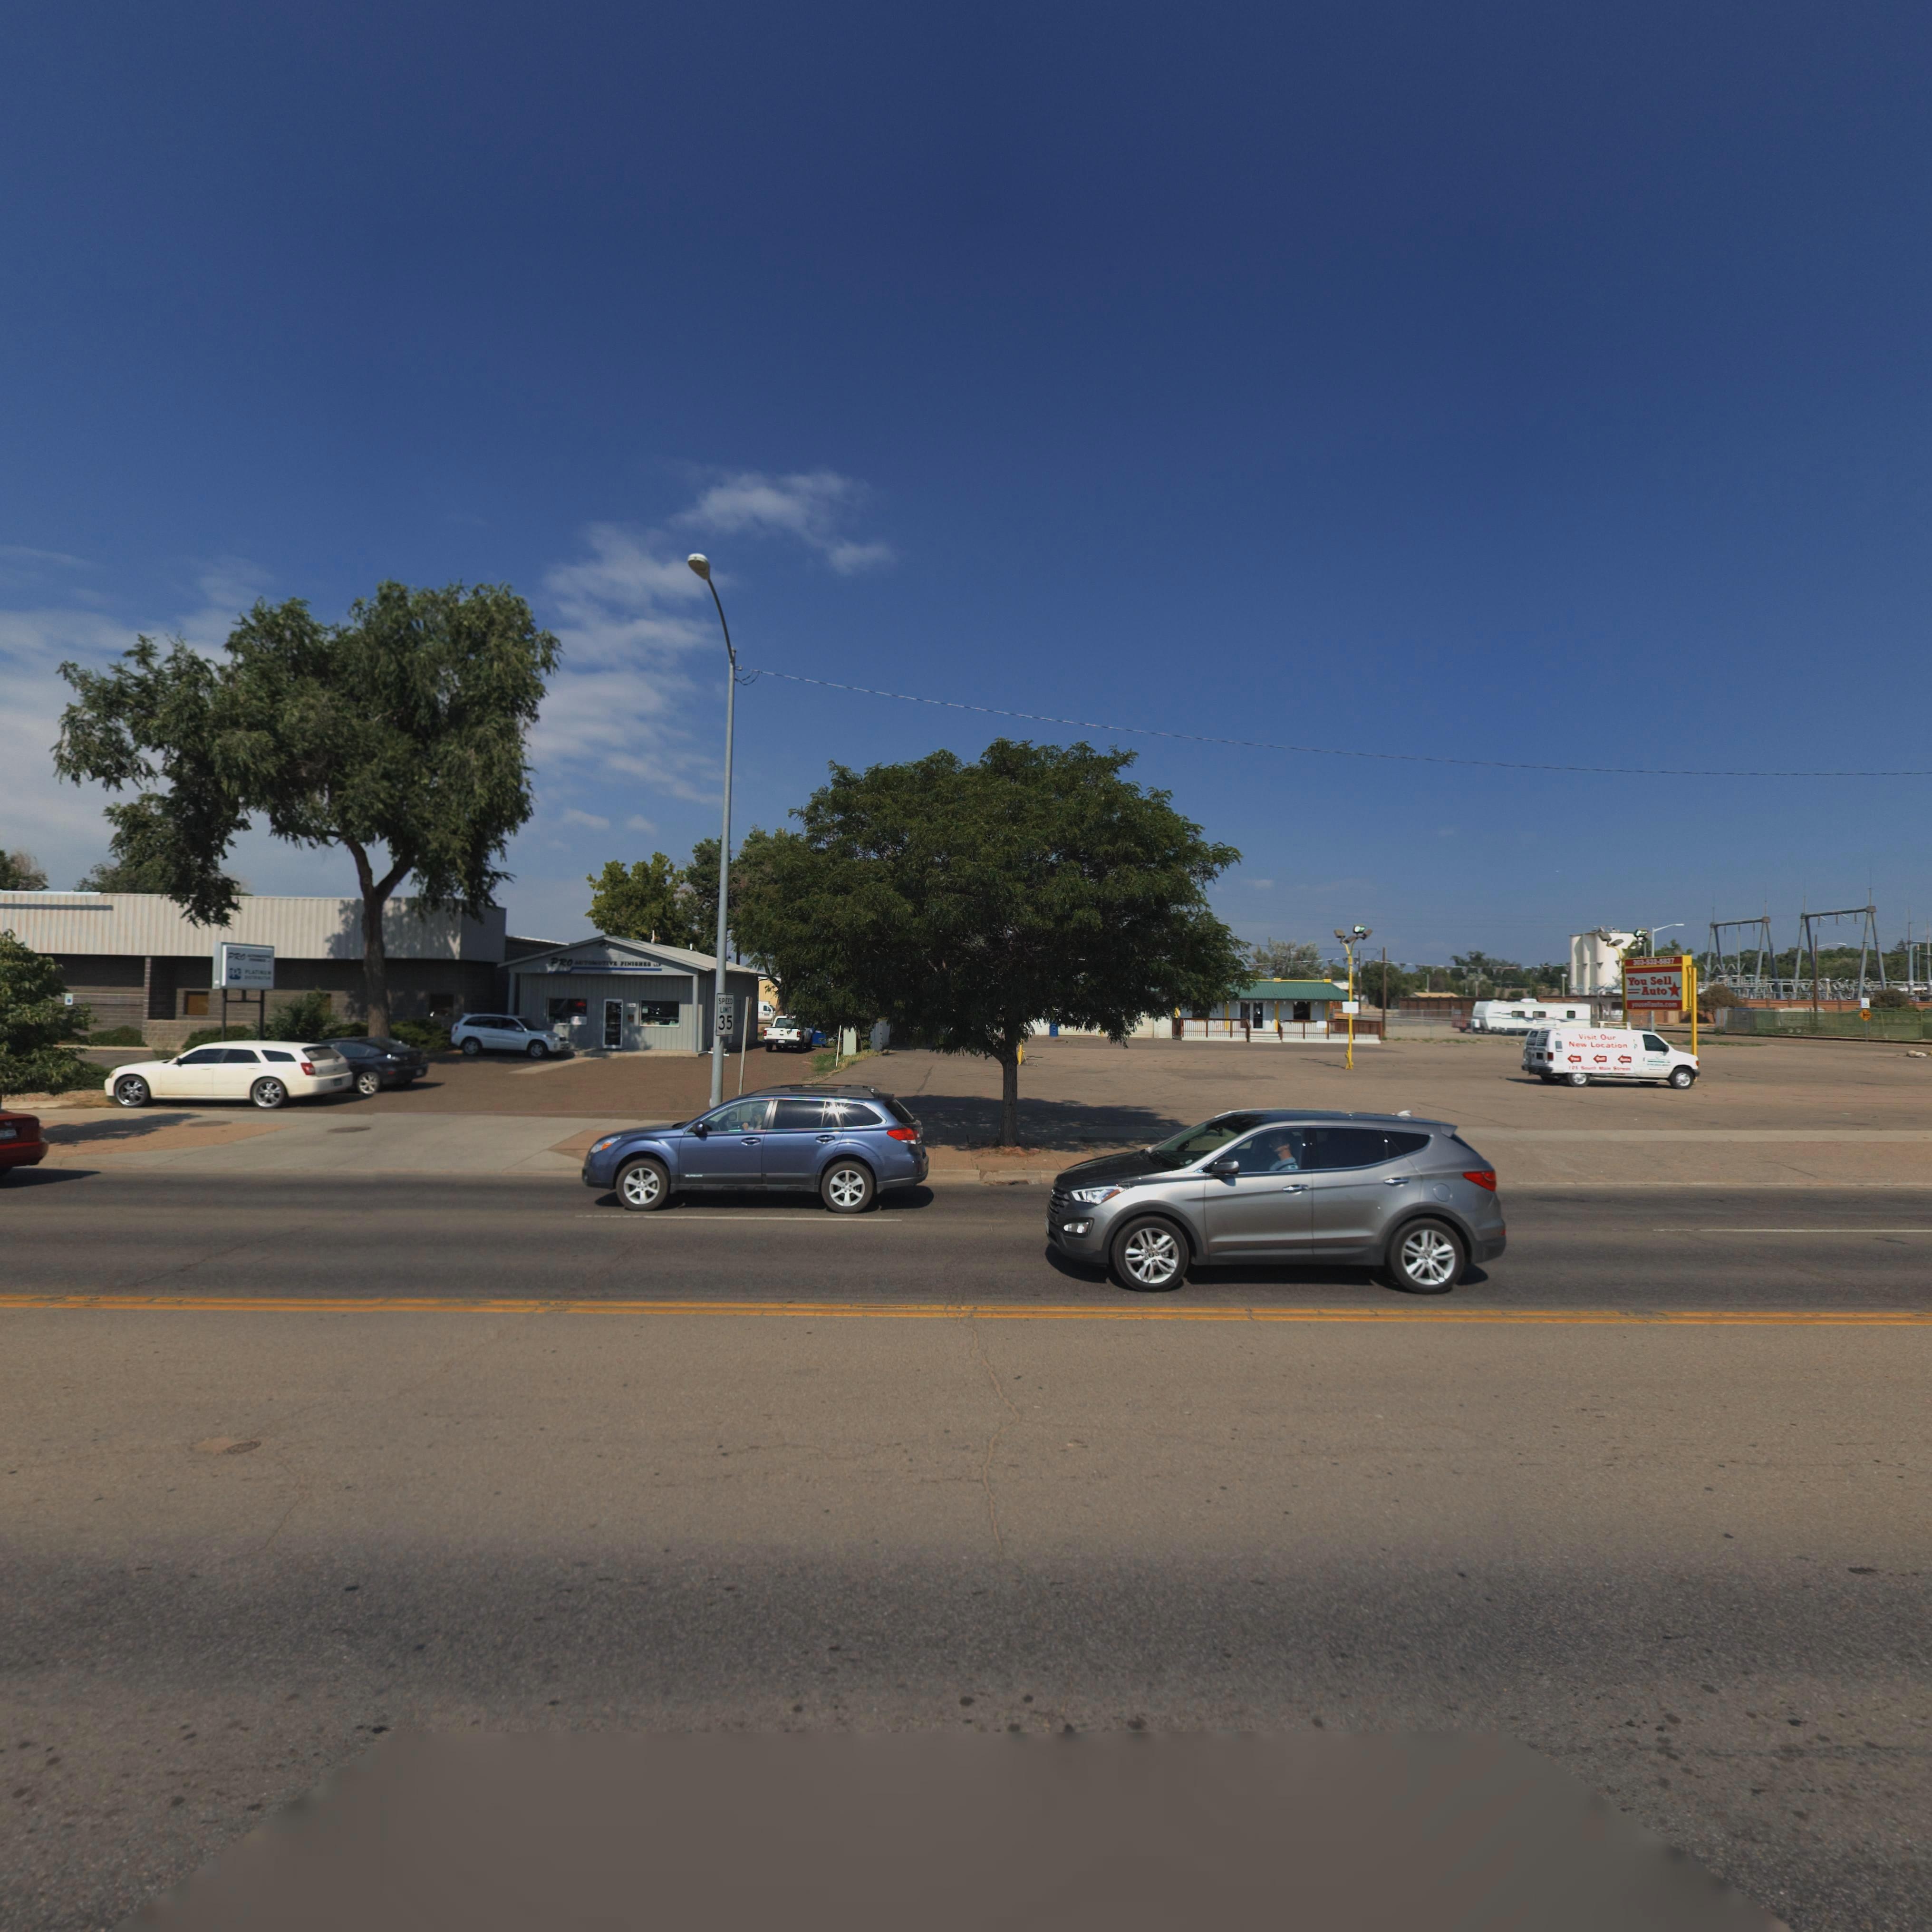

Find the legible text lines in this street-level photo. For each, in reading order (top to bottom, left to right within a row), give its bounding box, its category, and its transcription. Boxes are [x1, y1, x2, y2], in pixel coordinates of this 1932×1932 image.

[227, 952, 246, 960] BusinessName: PRO
[550, 957, 573, 966] BusinessName: PRO
[574, 960, 661, 966] BusinessName: AUTOMOTIVE FINISHES LLP.
[1627, 976, 1671, 985] BusinessName: You Sell
[1641, 986, 1667, 995] BusinessName: Auto